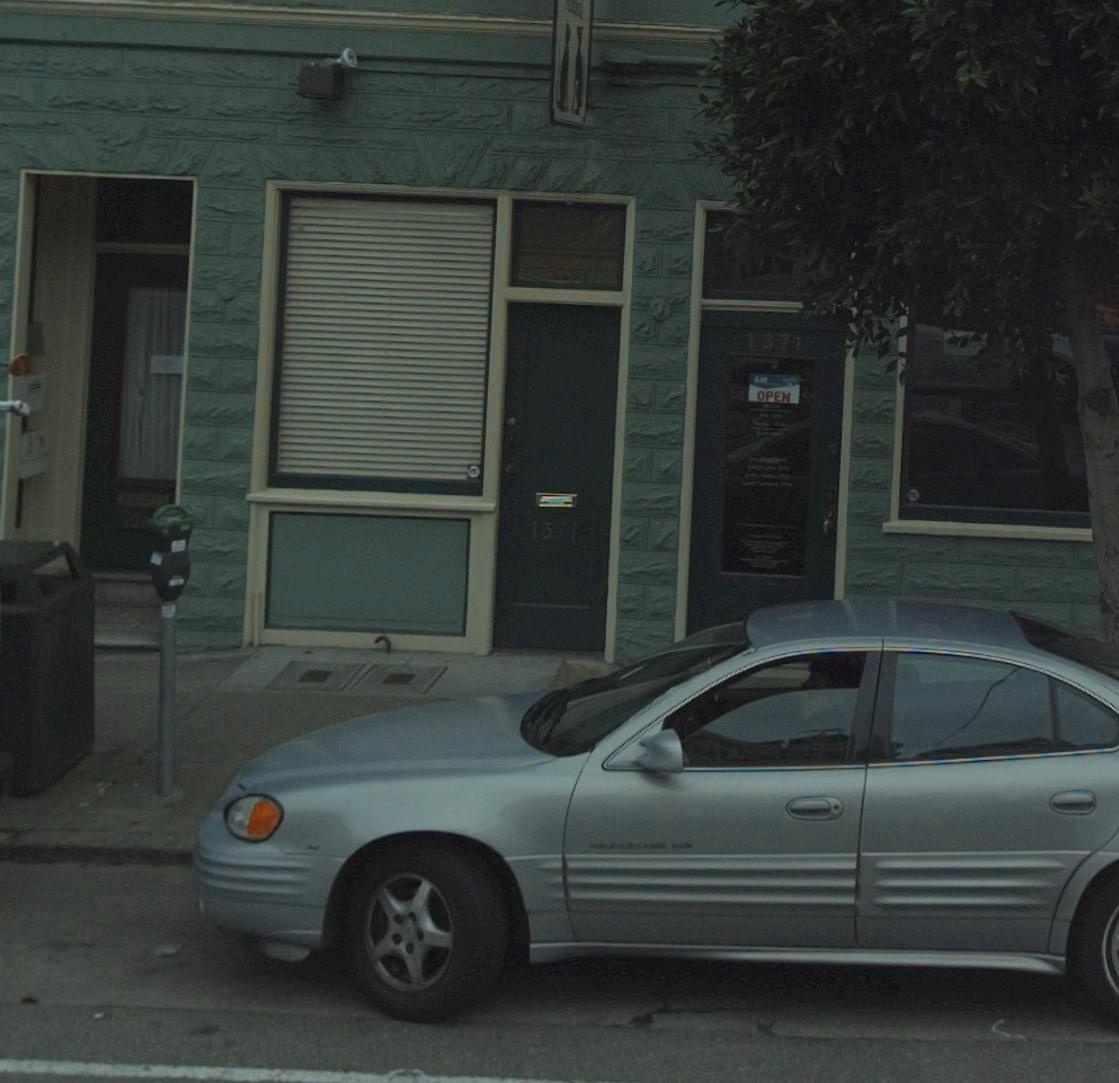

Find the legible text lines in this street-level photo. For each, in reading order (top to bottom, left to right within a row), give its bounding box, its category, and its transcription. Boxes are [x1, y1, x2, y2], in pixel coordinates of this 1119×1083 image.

[747, 332, 801, 353] StreetNumber: 1371
[752, 375, 769, 385] None: AM
[755, 389, 791, 404] None: OPEN
[530, 520, 577, 543] StreetNumber: 1371